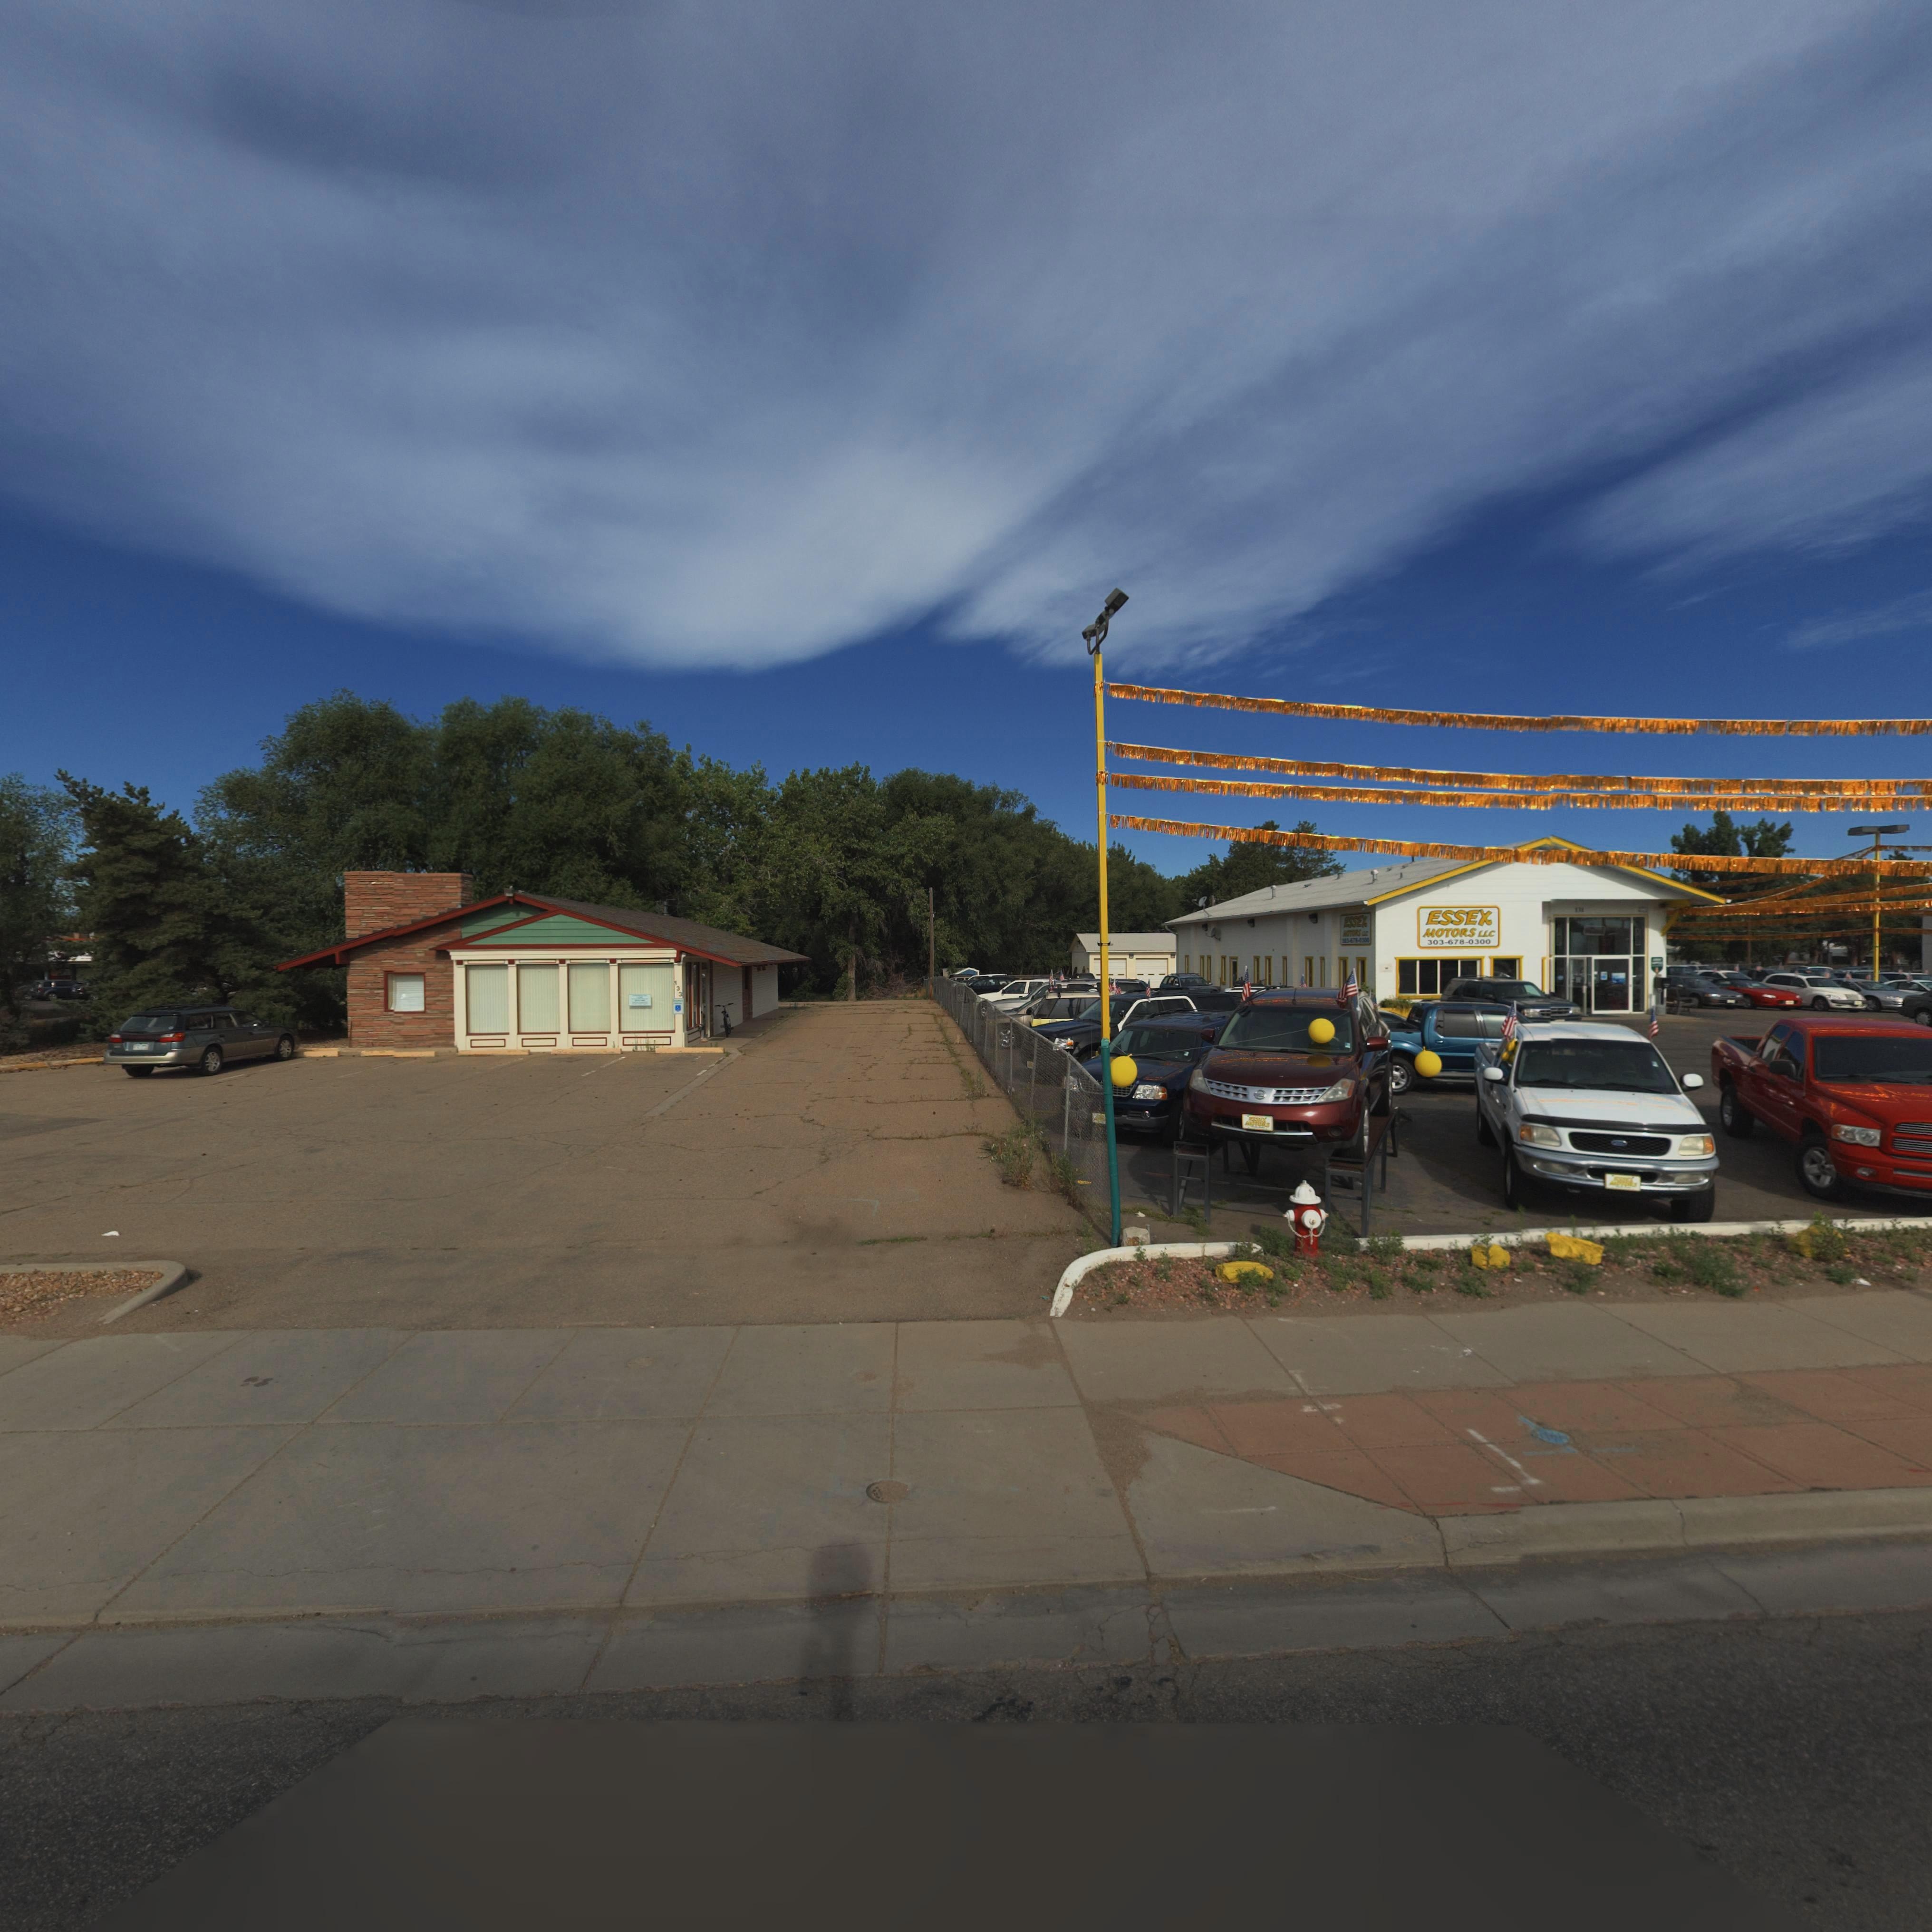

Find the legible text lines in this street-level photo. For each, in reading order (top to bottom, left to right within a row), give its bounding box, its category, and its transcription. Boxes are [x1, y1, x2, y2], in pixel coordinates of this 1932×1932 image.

[1575, 907, 1584, 912] StreetNumber: 1*1
[1343, 915, 1367, 928] BusinessName: ESSEX
[1425, 909, 1492, 926] BusinessName: ESSEX
[1342, 928, 1368, 937] BusinessName: MOTORS **C
[1422, 927, 1495, 937] BusinessName: MOTORS LLC
[674, 979, 682, 997] StreetNumber: 133